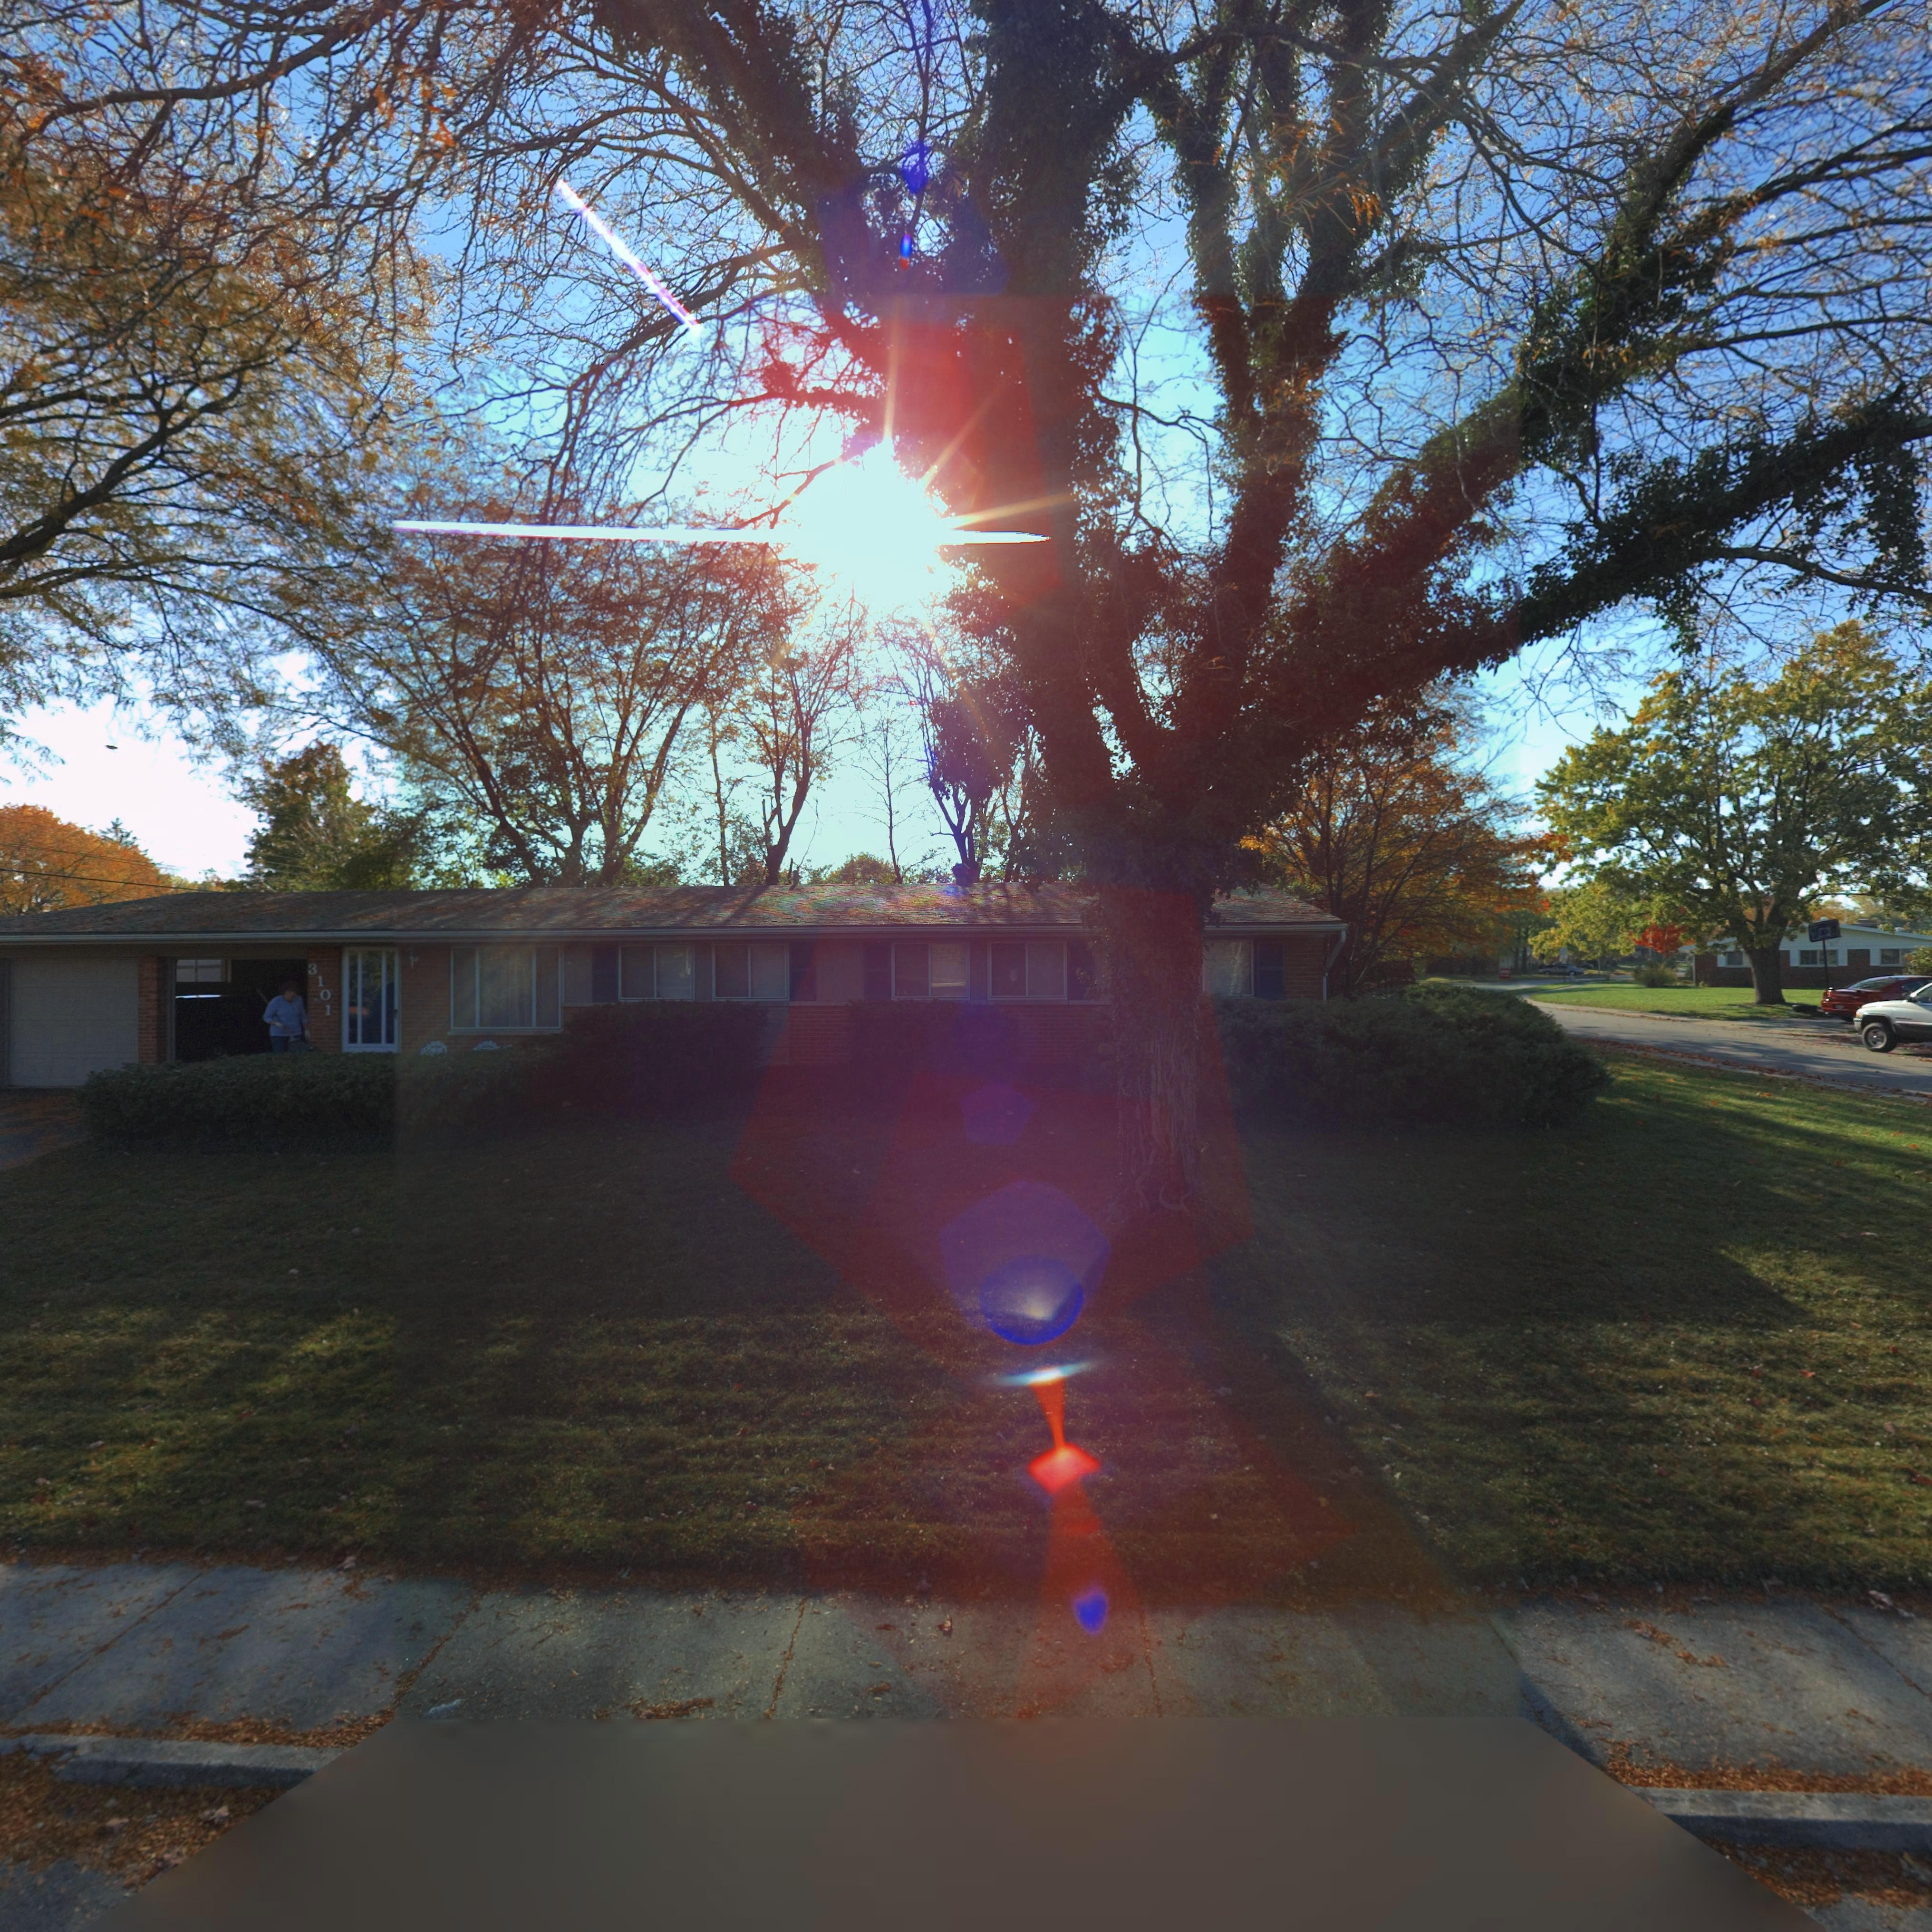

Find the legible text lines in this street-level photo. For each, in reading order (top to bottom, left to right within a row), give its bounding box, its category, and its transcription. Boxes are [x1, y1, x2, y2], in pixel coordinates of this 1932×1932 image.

[308, 963, 333, 1016] StreetNumber: 3101